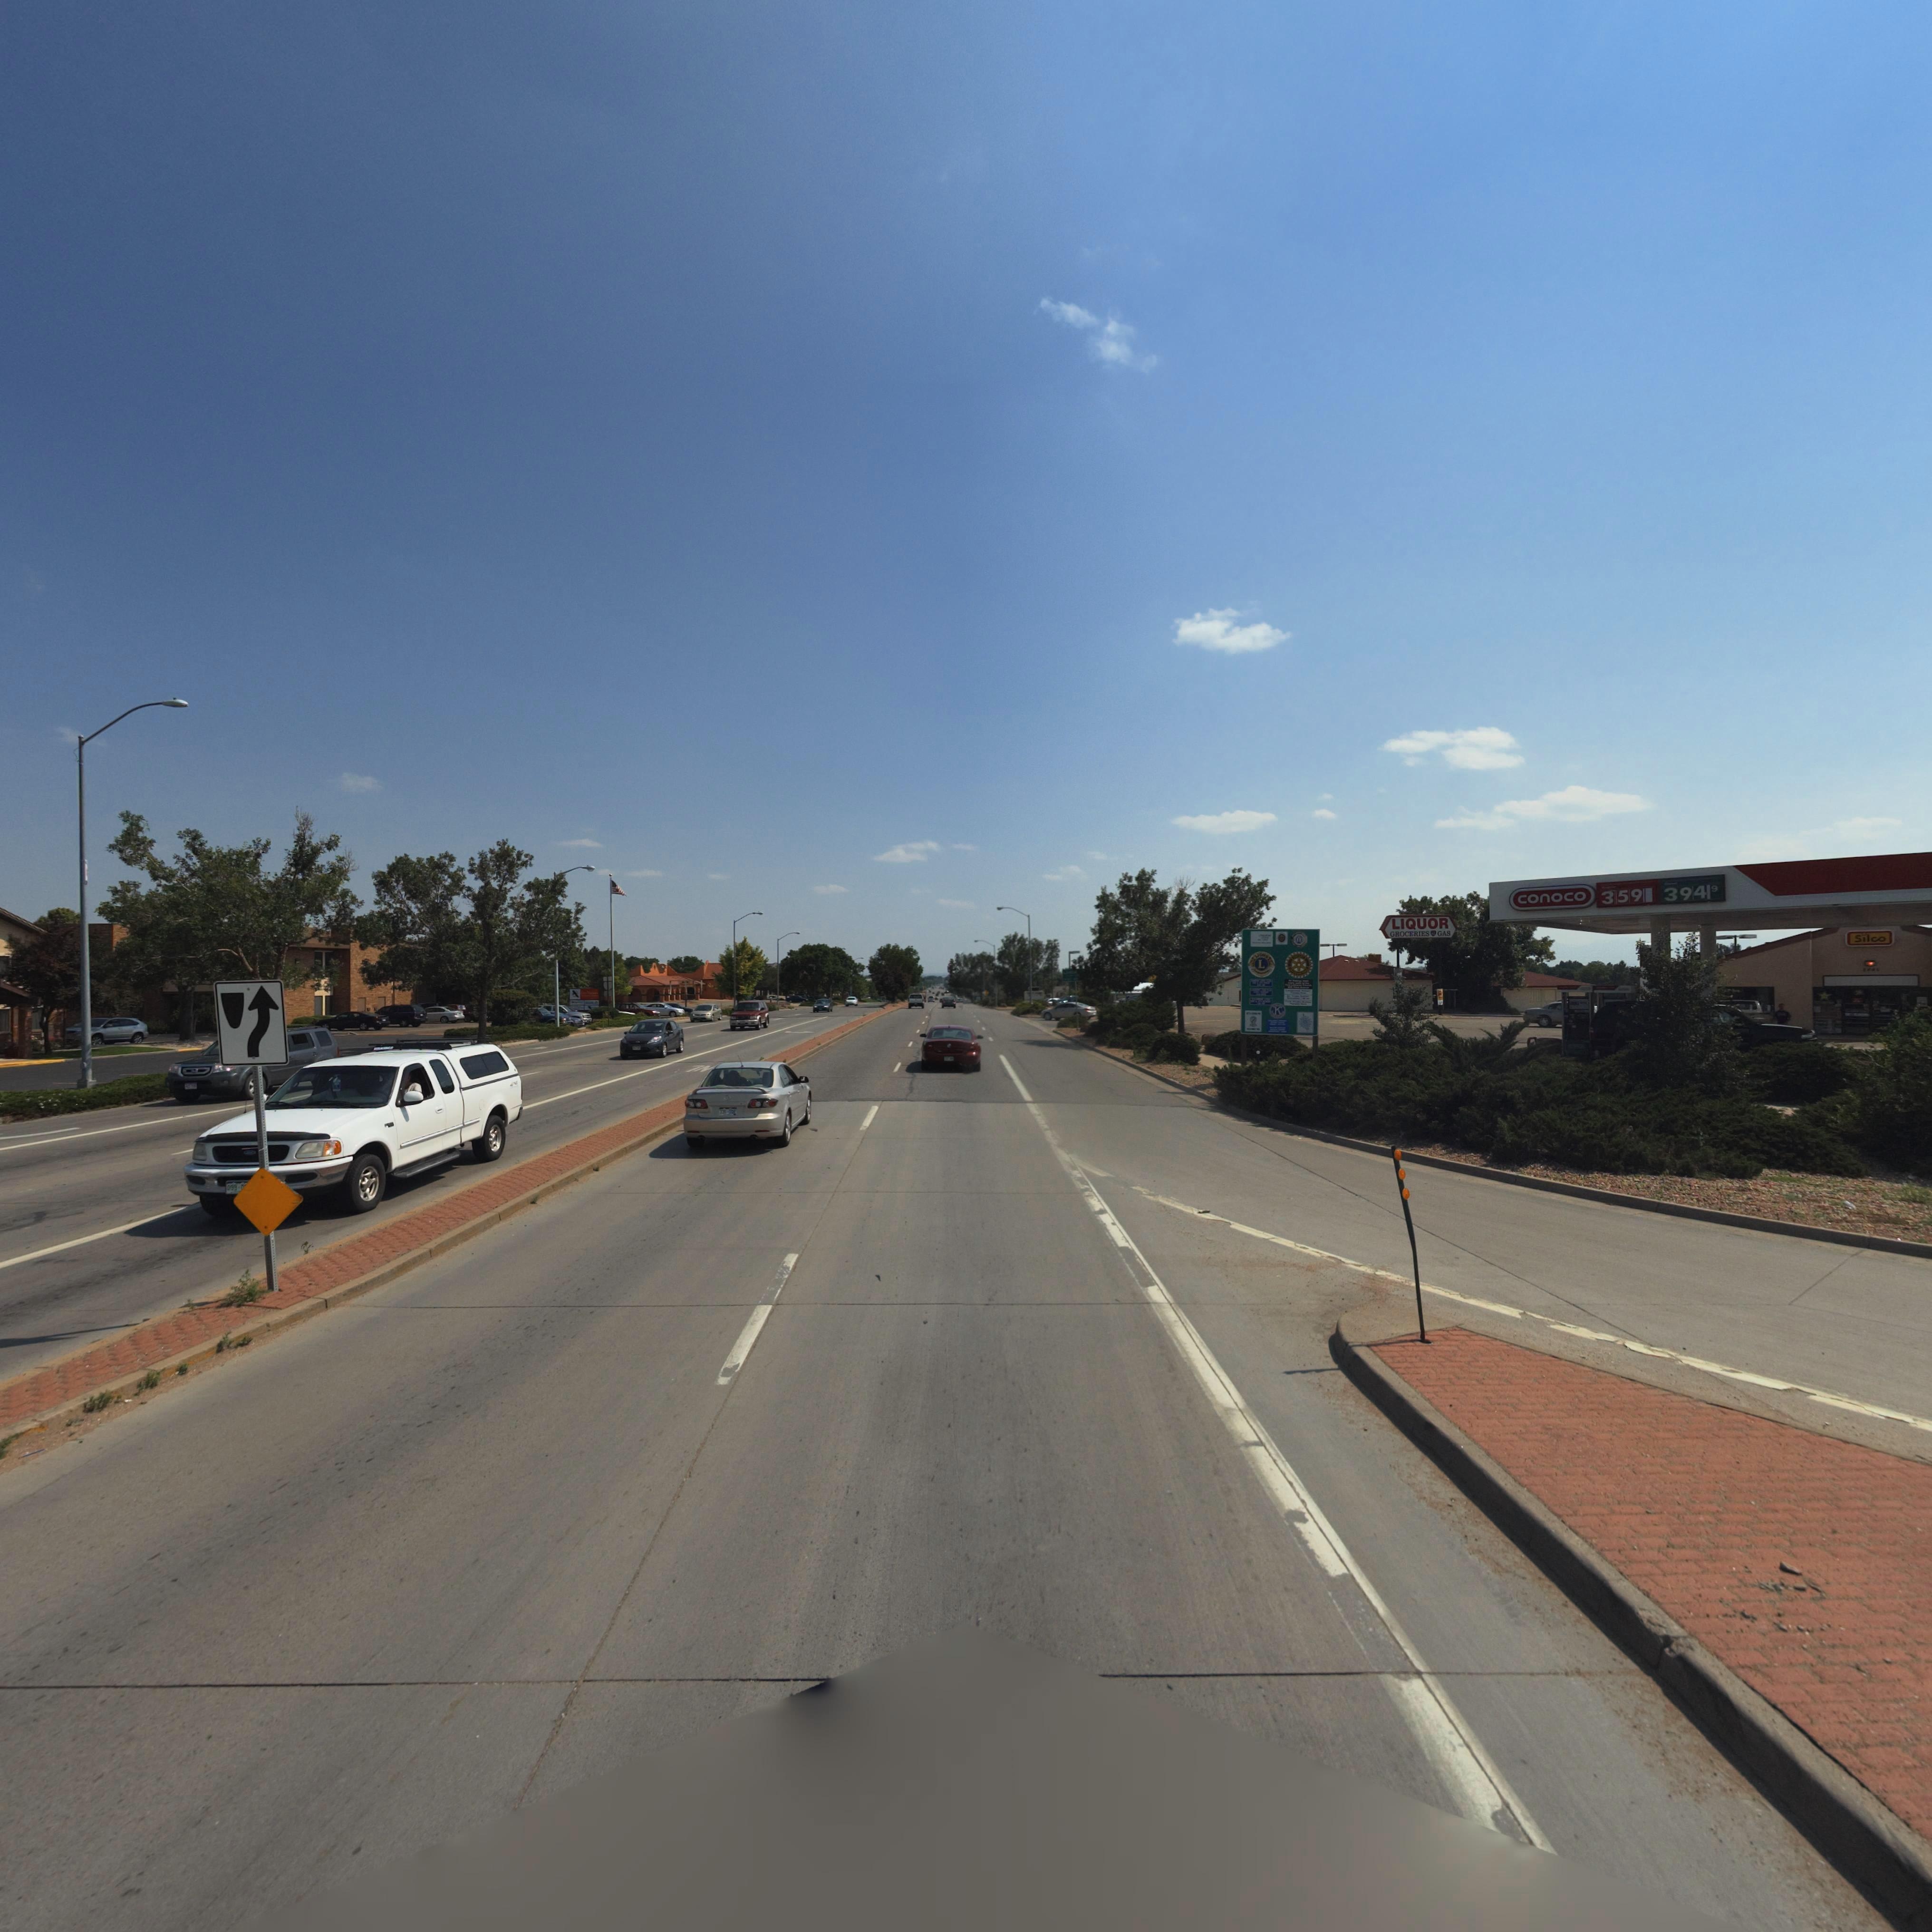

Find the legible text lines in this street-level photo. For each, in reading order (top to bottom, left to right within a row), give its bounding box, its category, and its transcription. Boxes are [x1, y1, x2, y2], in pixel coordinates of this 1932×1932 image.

[1854, 933, 1886, 943] BusinessName: Silco